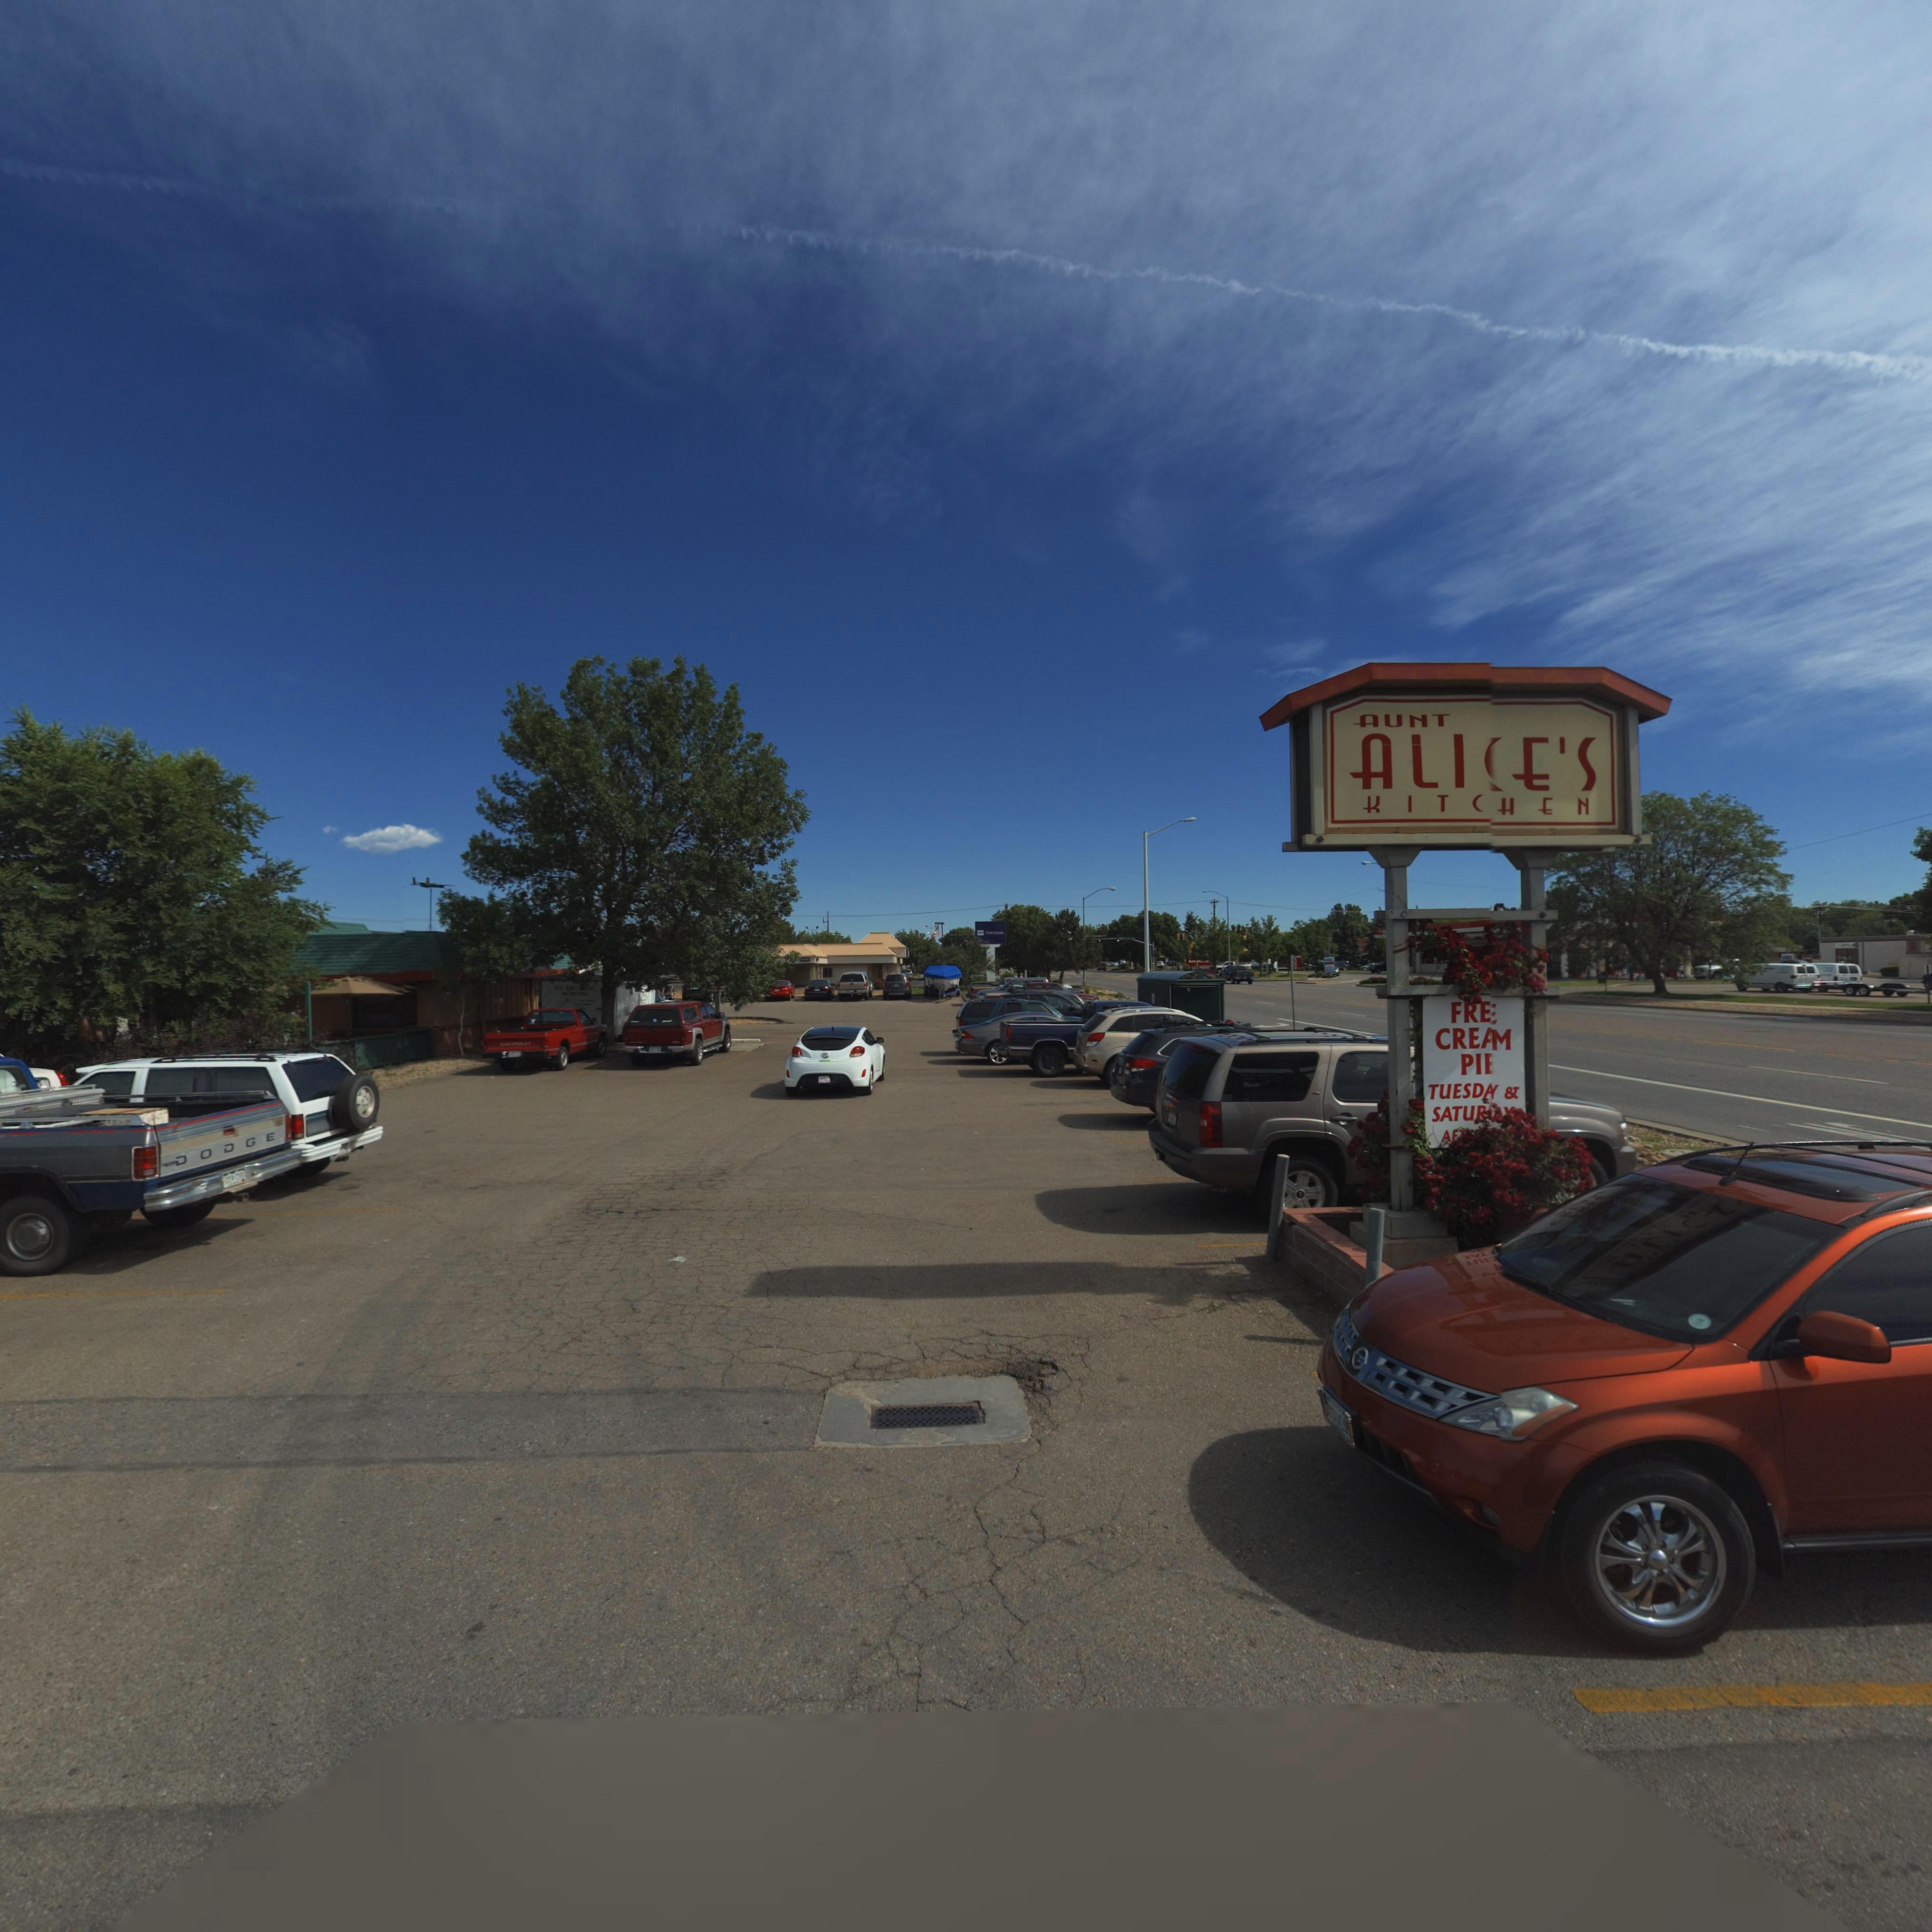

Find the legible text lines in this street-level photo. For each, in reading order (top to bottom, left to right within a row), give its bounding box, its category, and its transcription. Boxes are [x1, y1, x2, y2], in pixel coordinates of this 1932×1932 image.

[1352, 713, 1451, 728] BusinessName: AUNT
[1348, 732, 1599, 792] BusinessName: ALI*E'S
[1360, 793, 1590, 816] BusinessName: KITCHEN
[985, 930, 1004, 935] BusinessName: Comp**s
[1188, 959, 1209, 963] BusinessName: McD*******